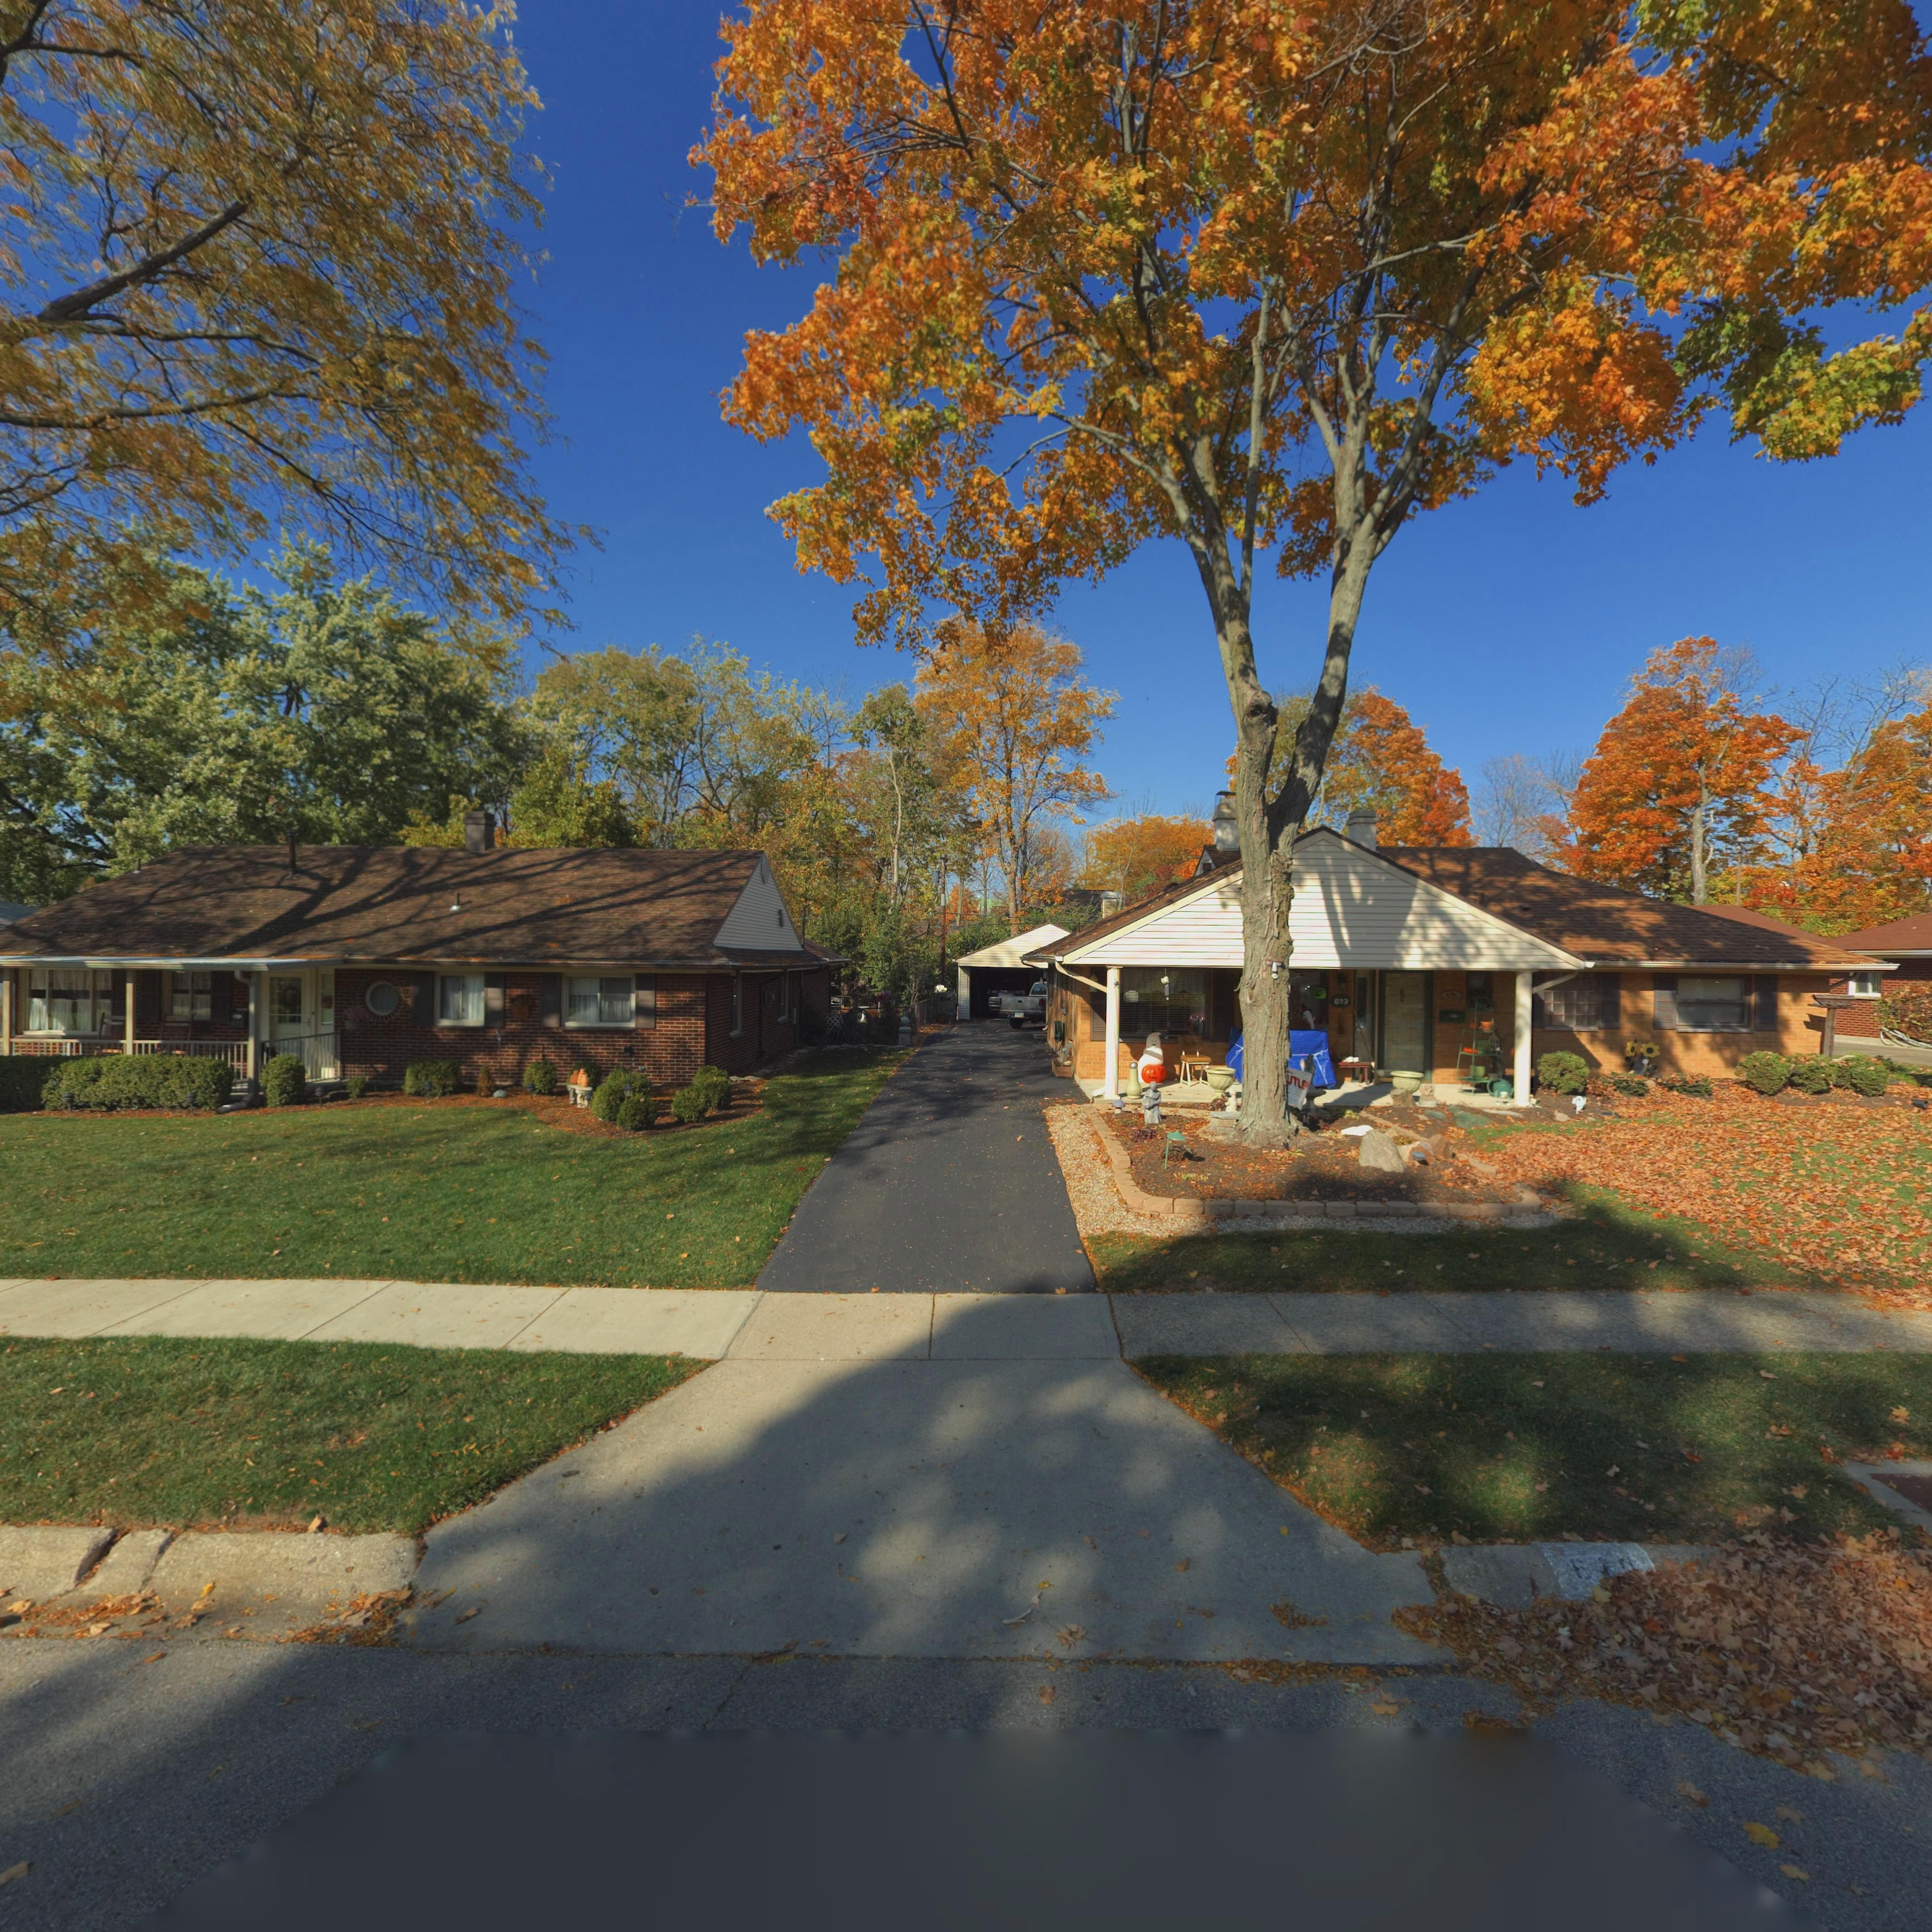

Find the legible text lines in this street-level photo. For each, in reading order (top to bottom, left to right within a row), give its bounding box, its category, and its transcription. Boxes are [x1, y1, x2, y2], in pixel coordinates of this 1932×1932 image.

[1333, 998, 1349, 1005] StreetNumber: 619
[1292, 1075, 1307, 1092] None: TLE
[1567, 1556, 1641, 1581] StreetNumber: 6**